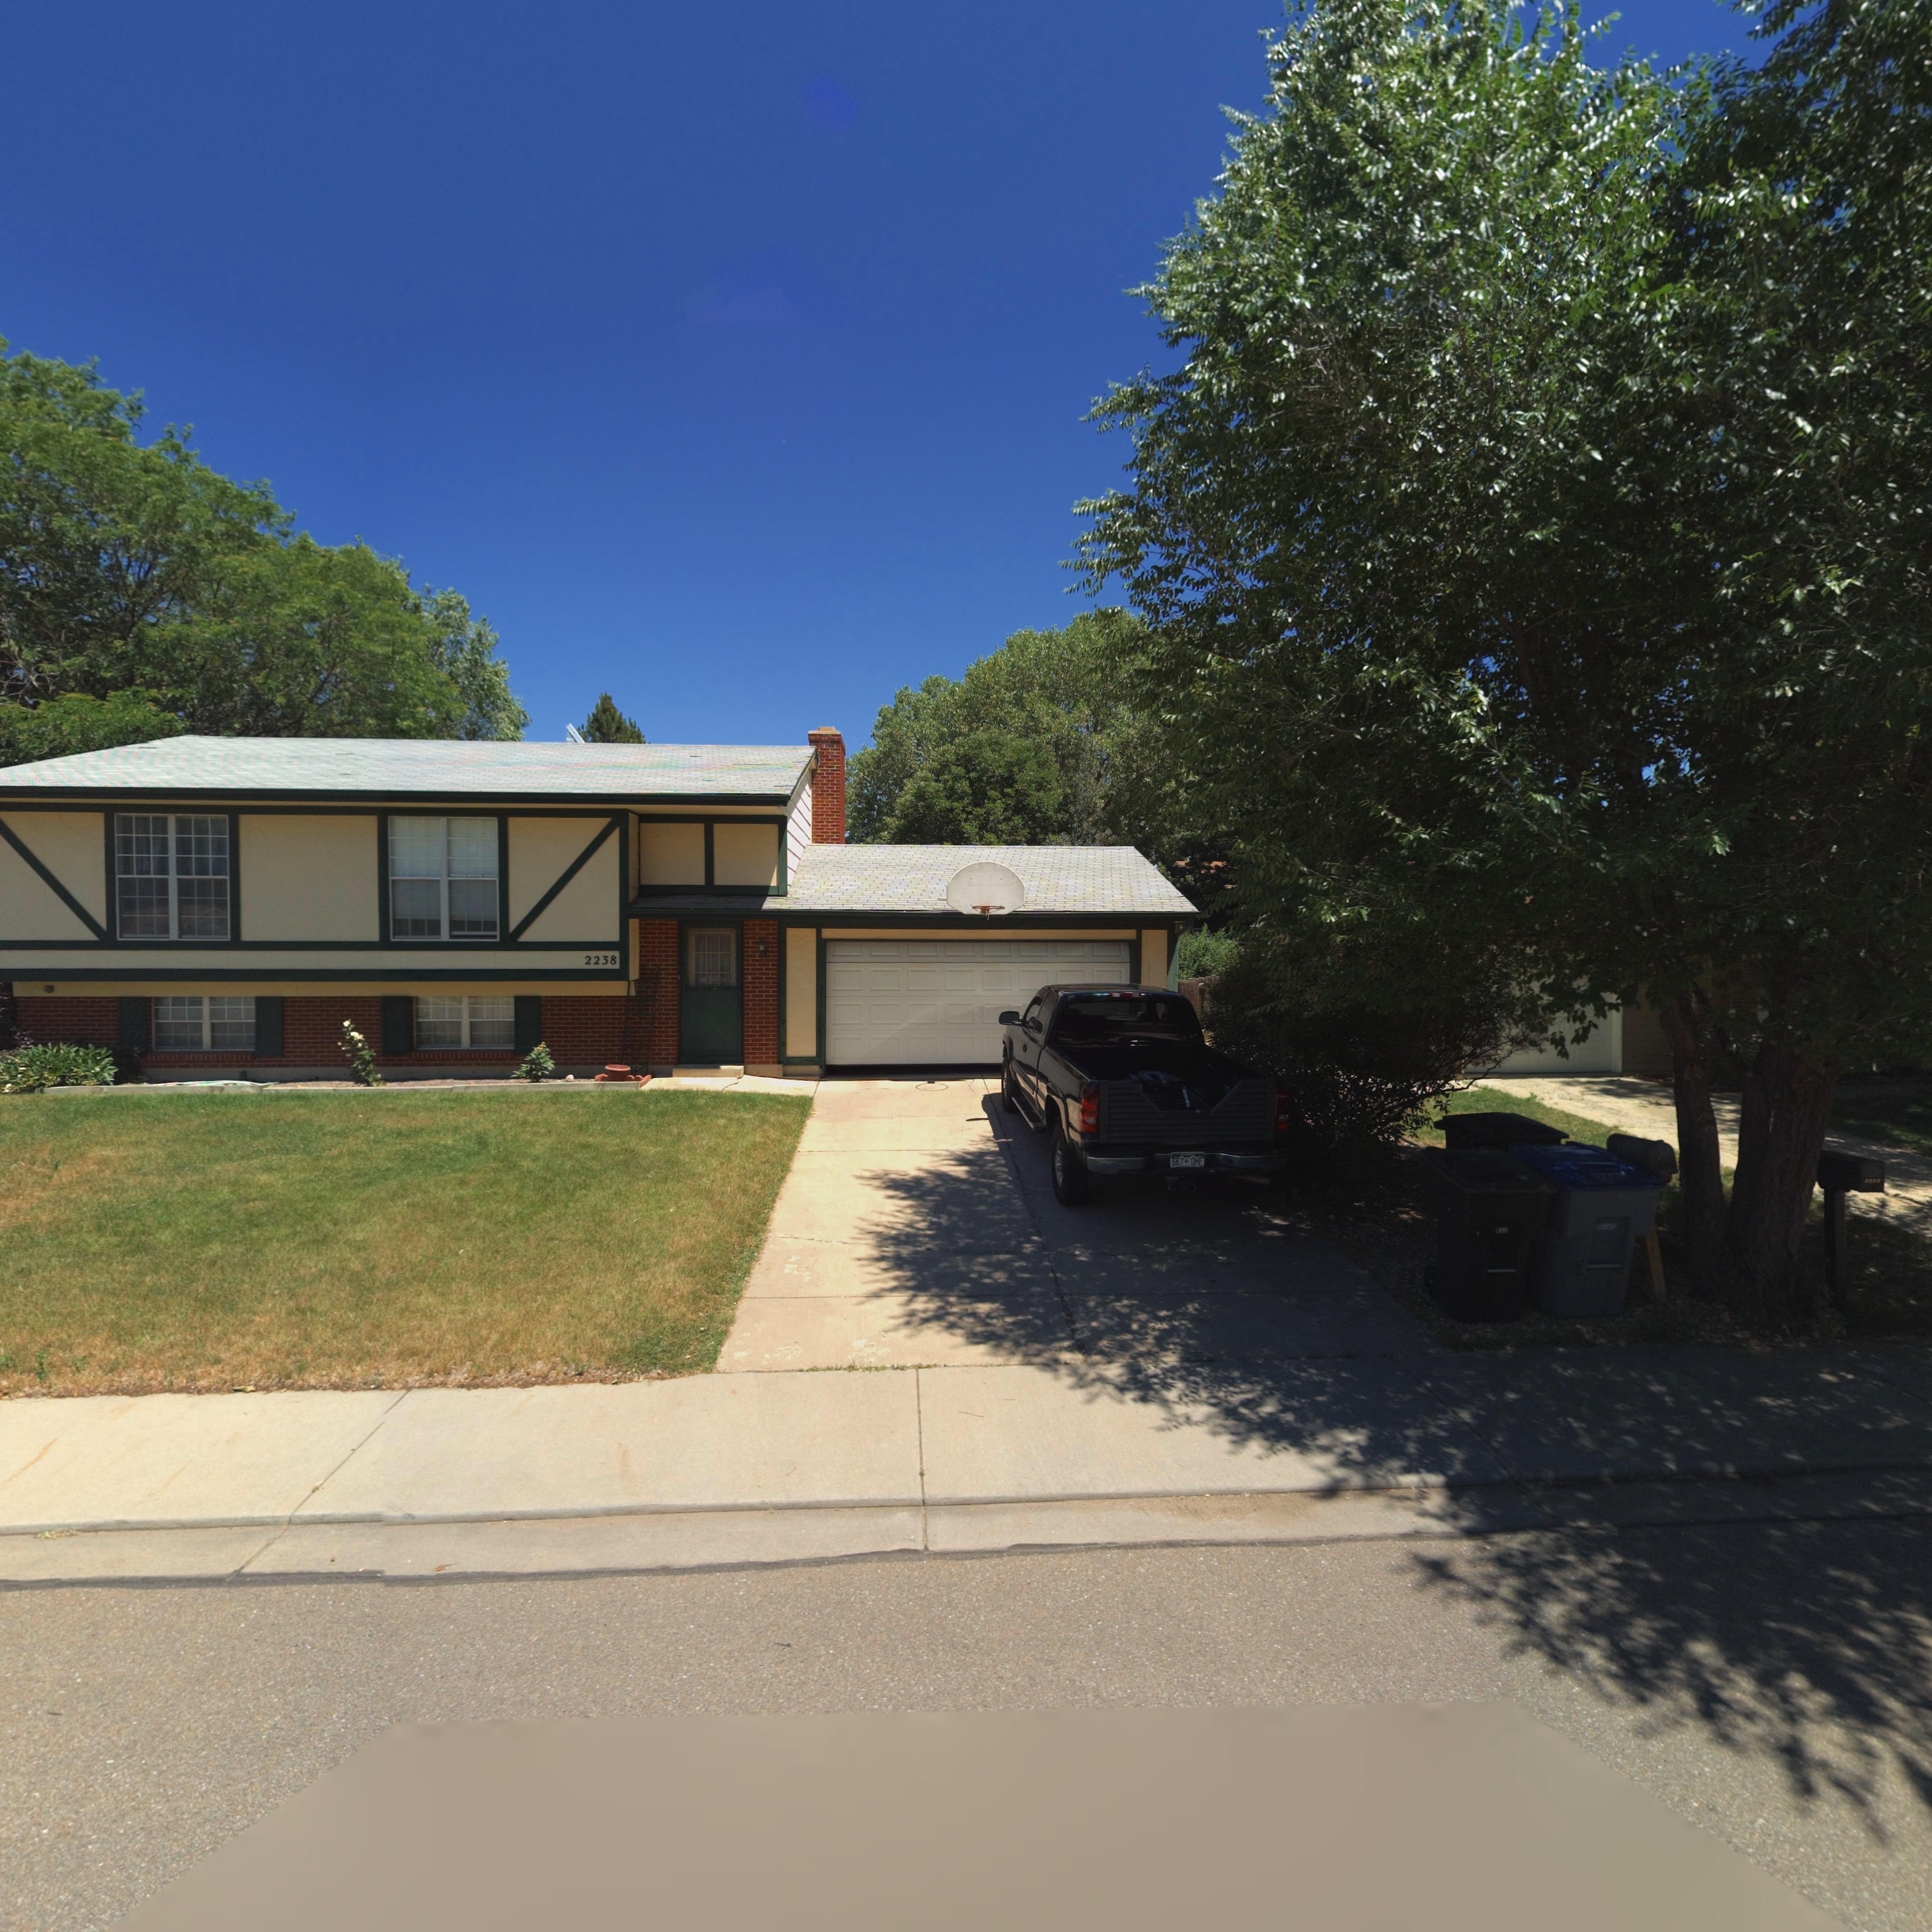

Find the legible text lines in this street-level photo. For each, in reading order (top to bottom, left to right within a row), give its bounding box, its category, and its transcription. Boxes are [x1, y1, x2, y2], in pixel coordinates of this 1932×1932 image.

[584, 955, 617, 965] StreetNumber: 2238